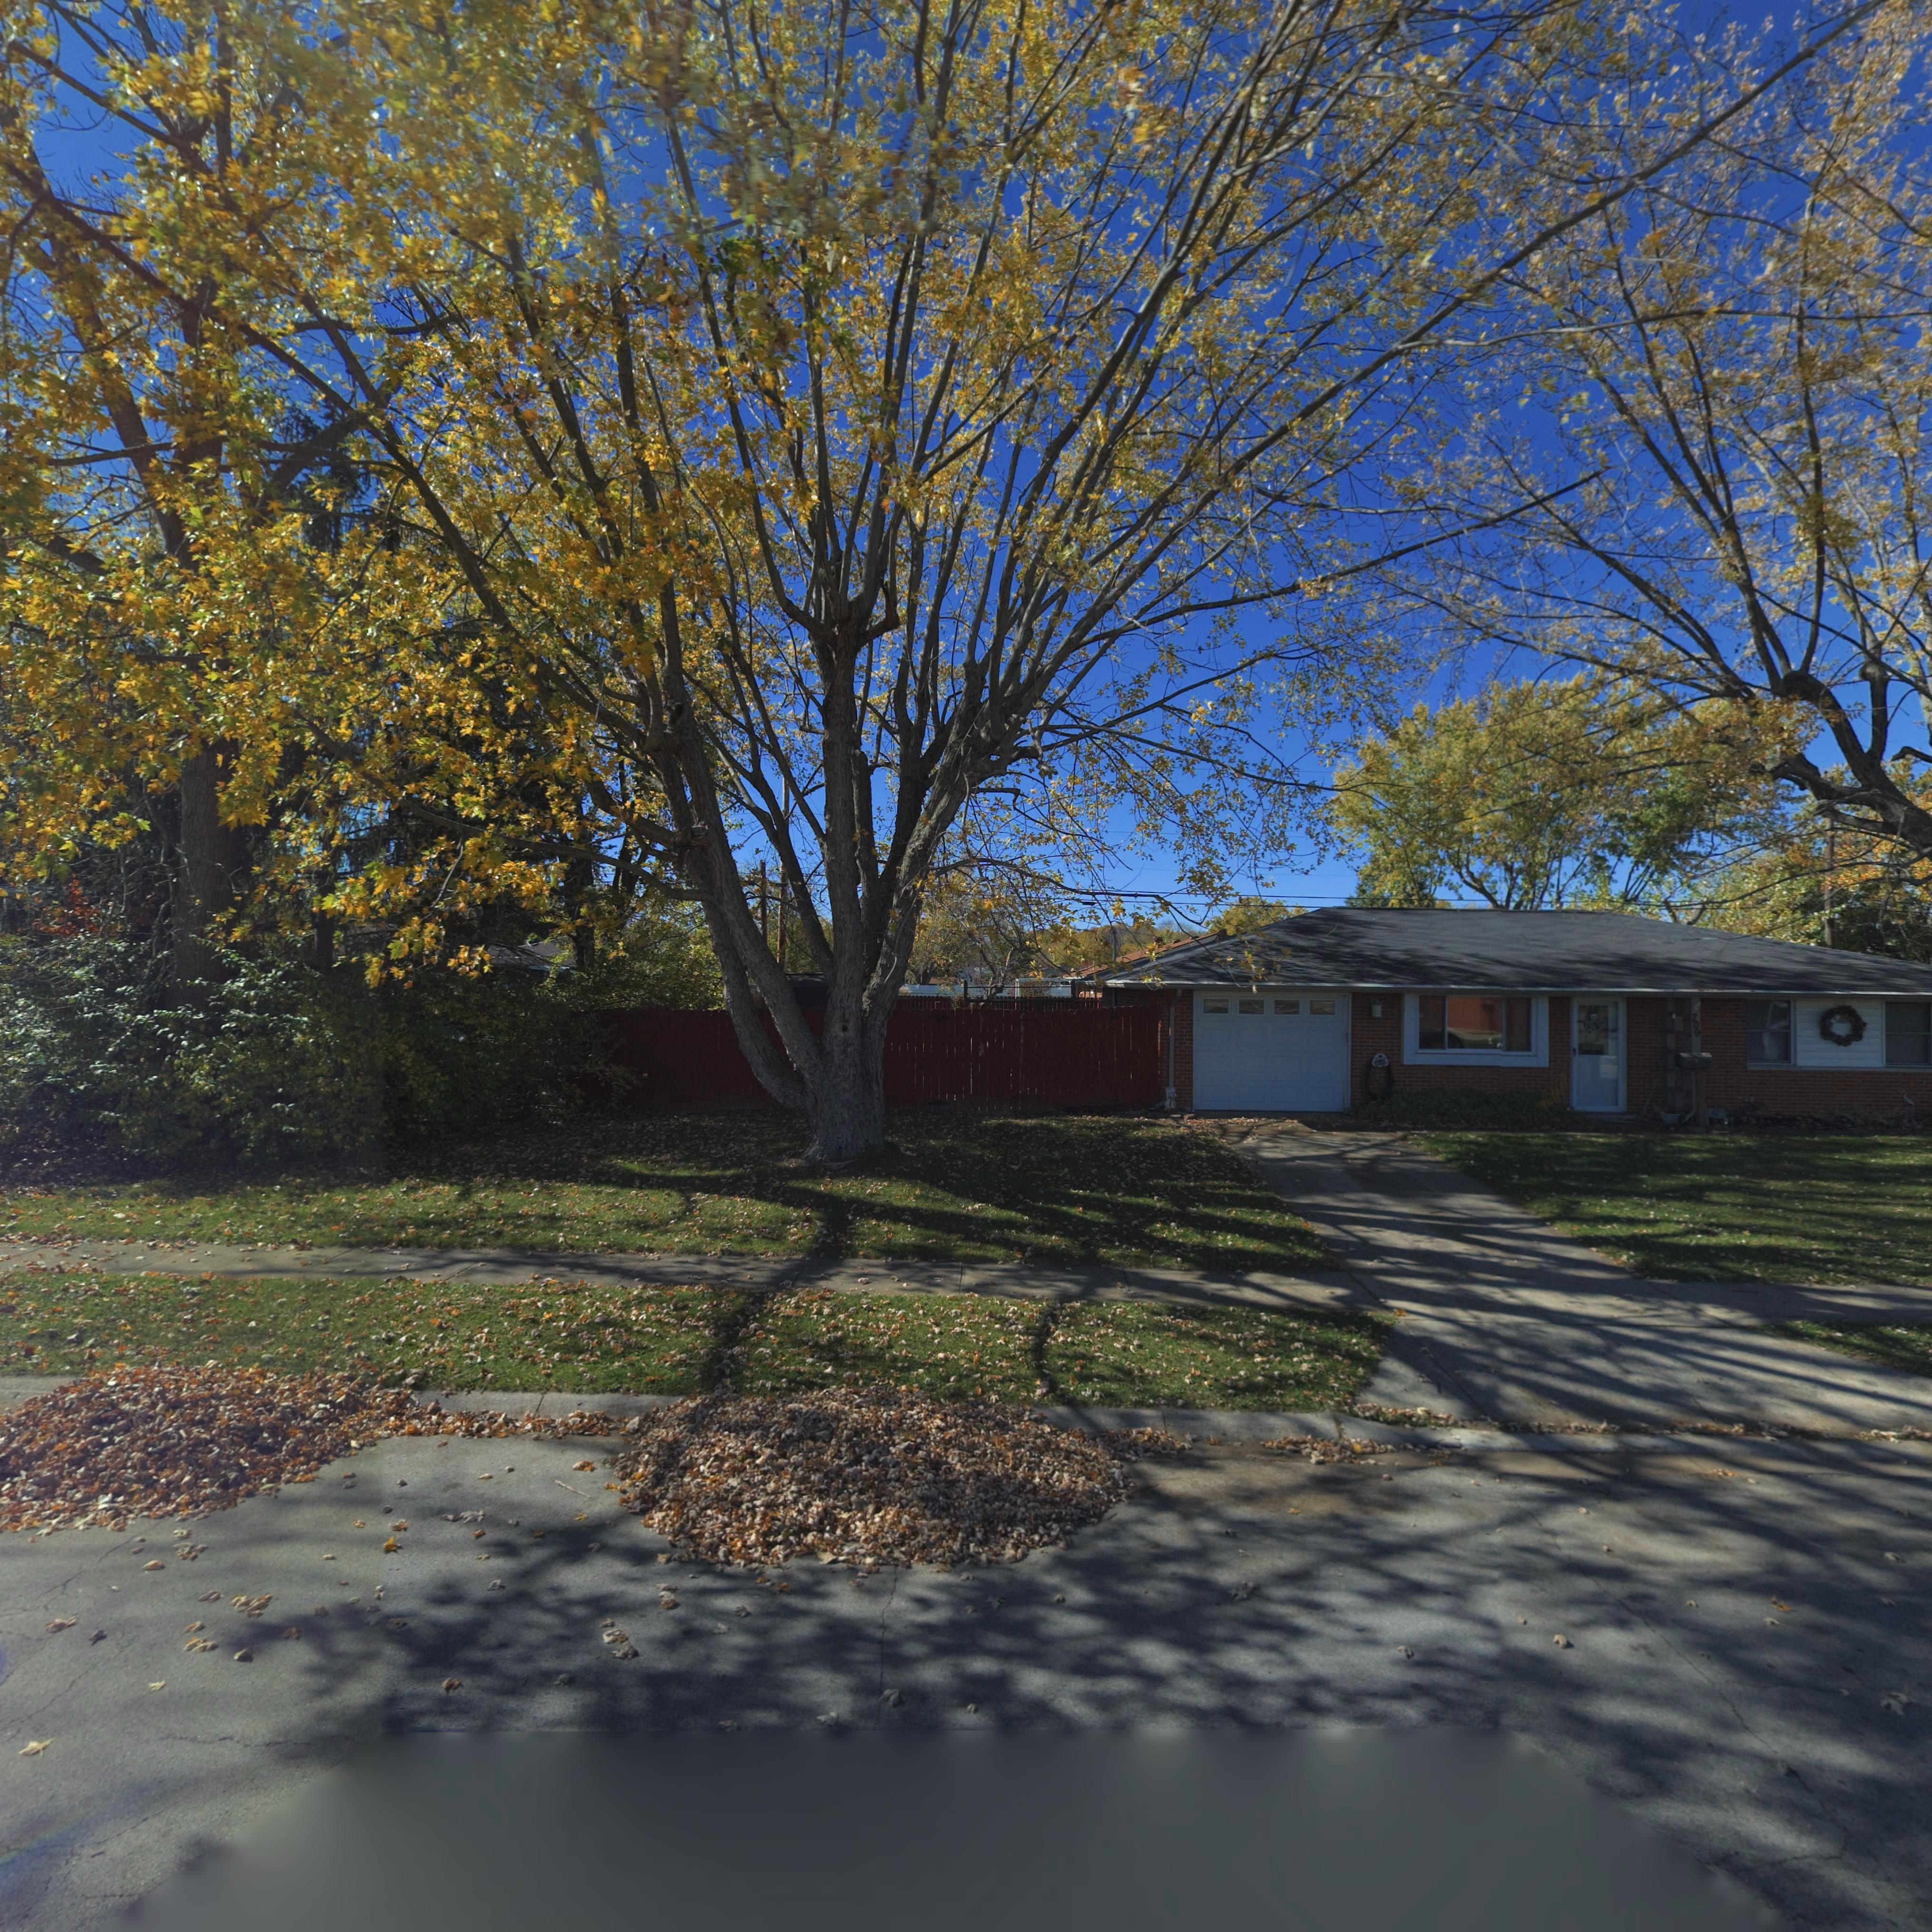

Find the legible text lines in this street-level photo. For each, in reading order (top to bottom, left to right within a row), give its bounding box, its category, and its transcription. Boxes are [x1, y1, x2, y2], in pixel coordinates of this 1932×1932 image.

[1690, 1012, 1701, 1038] StreetNumber: 709